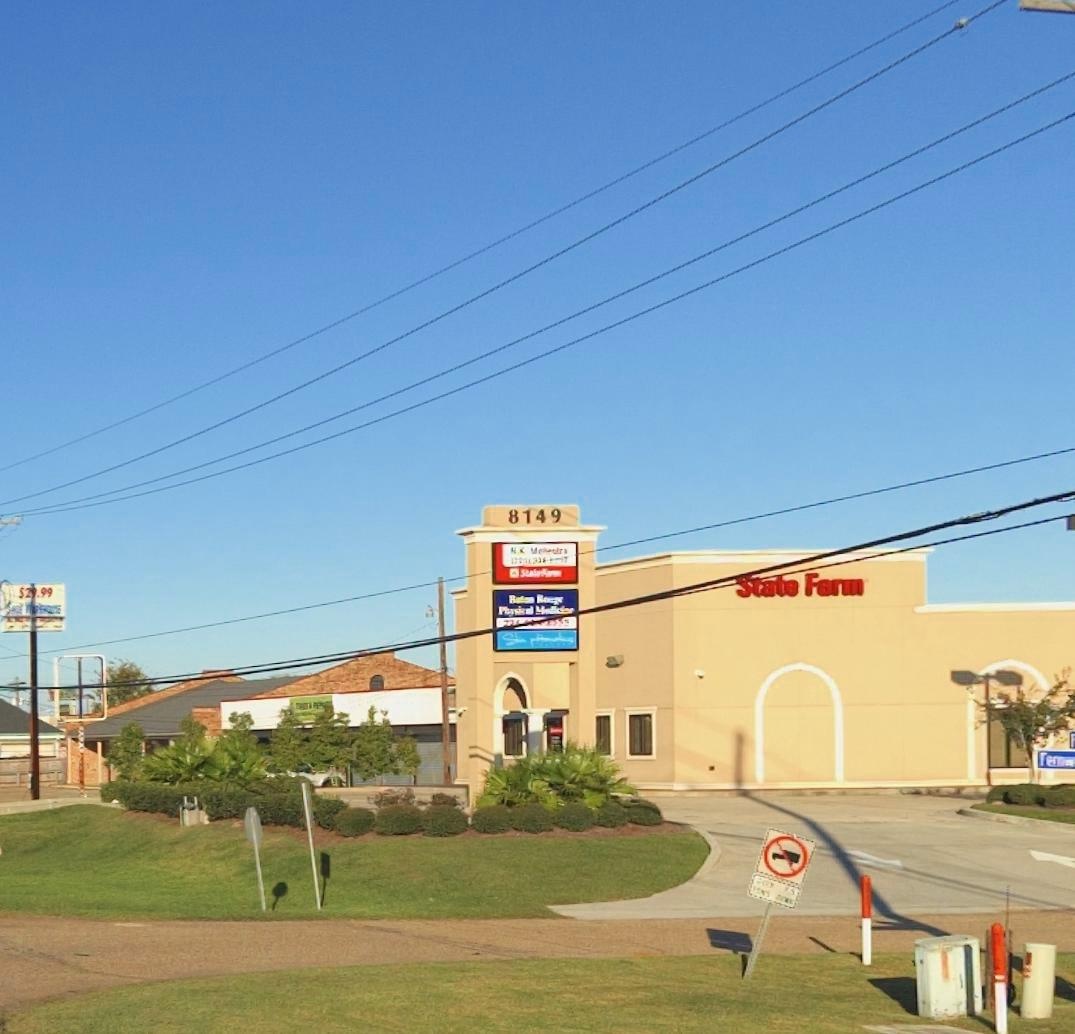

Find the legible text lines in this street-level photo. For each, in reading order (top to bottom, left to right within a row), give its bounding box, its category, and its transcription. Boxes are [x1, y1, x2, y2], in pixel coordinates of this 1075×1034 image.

[507, 506, 564, 526] StreetNumber: 8149
[23, 585, 55, 600] None: 2*.99
[733, 570, 868, 600] BusinessName: **ate Farm